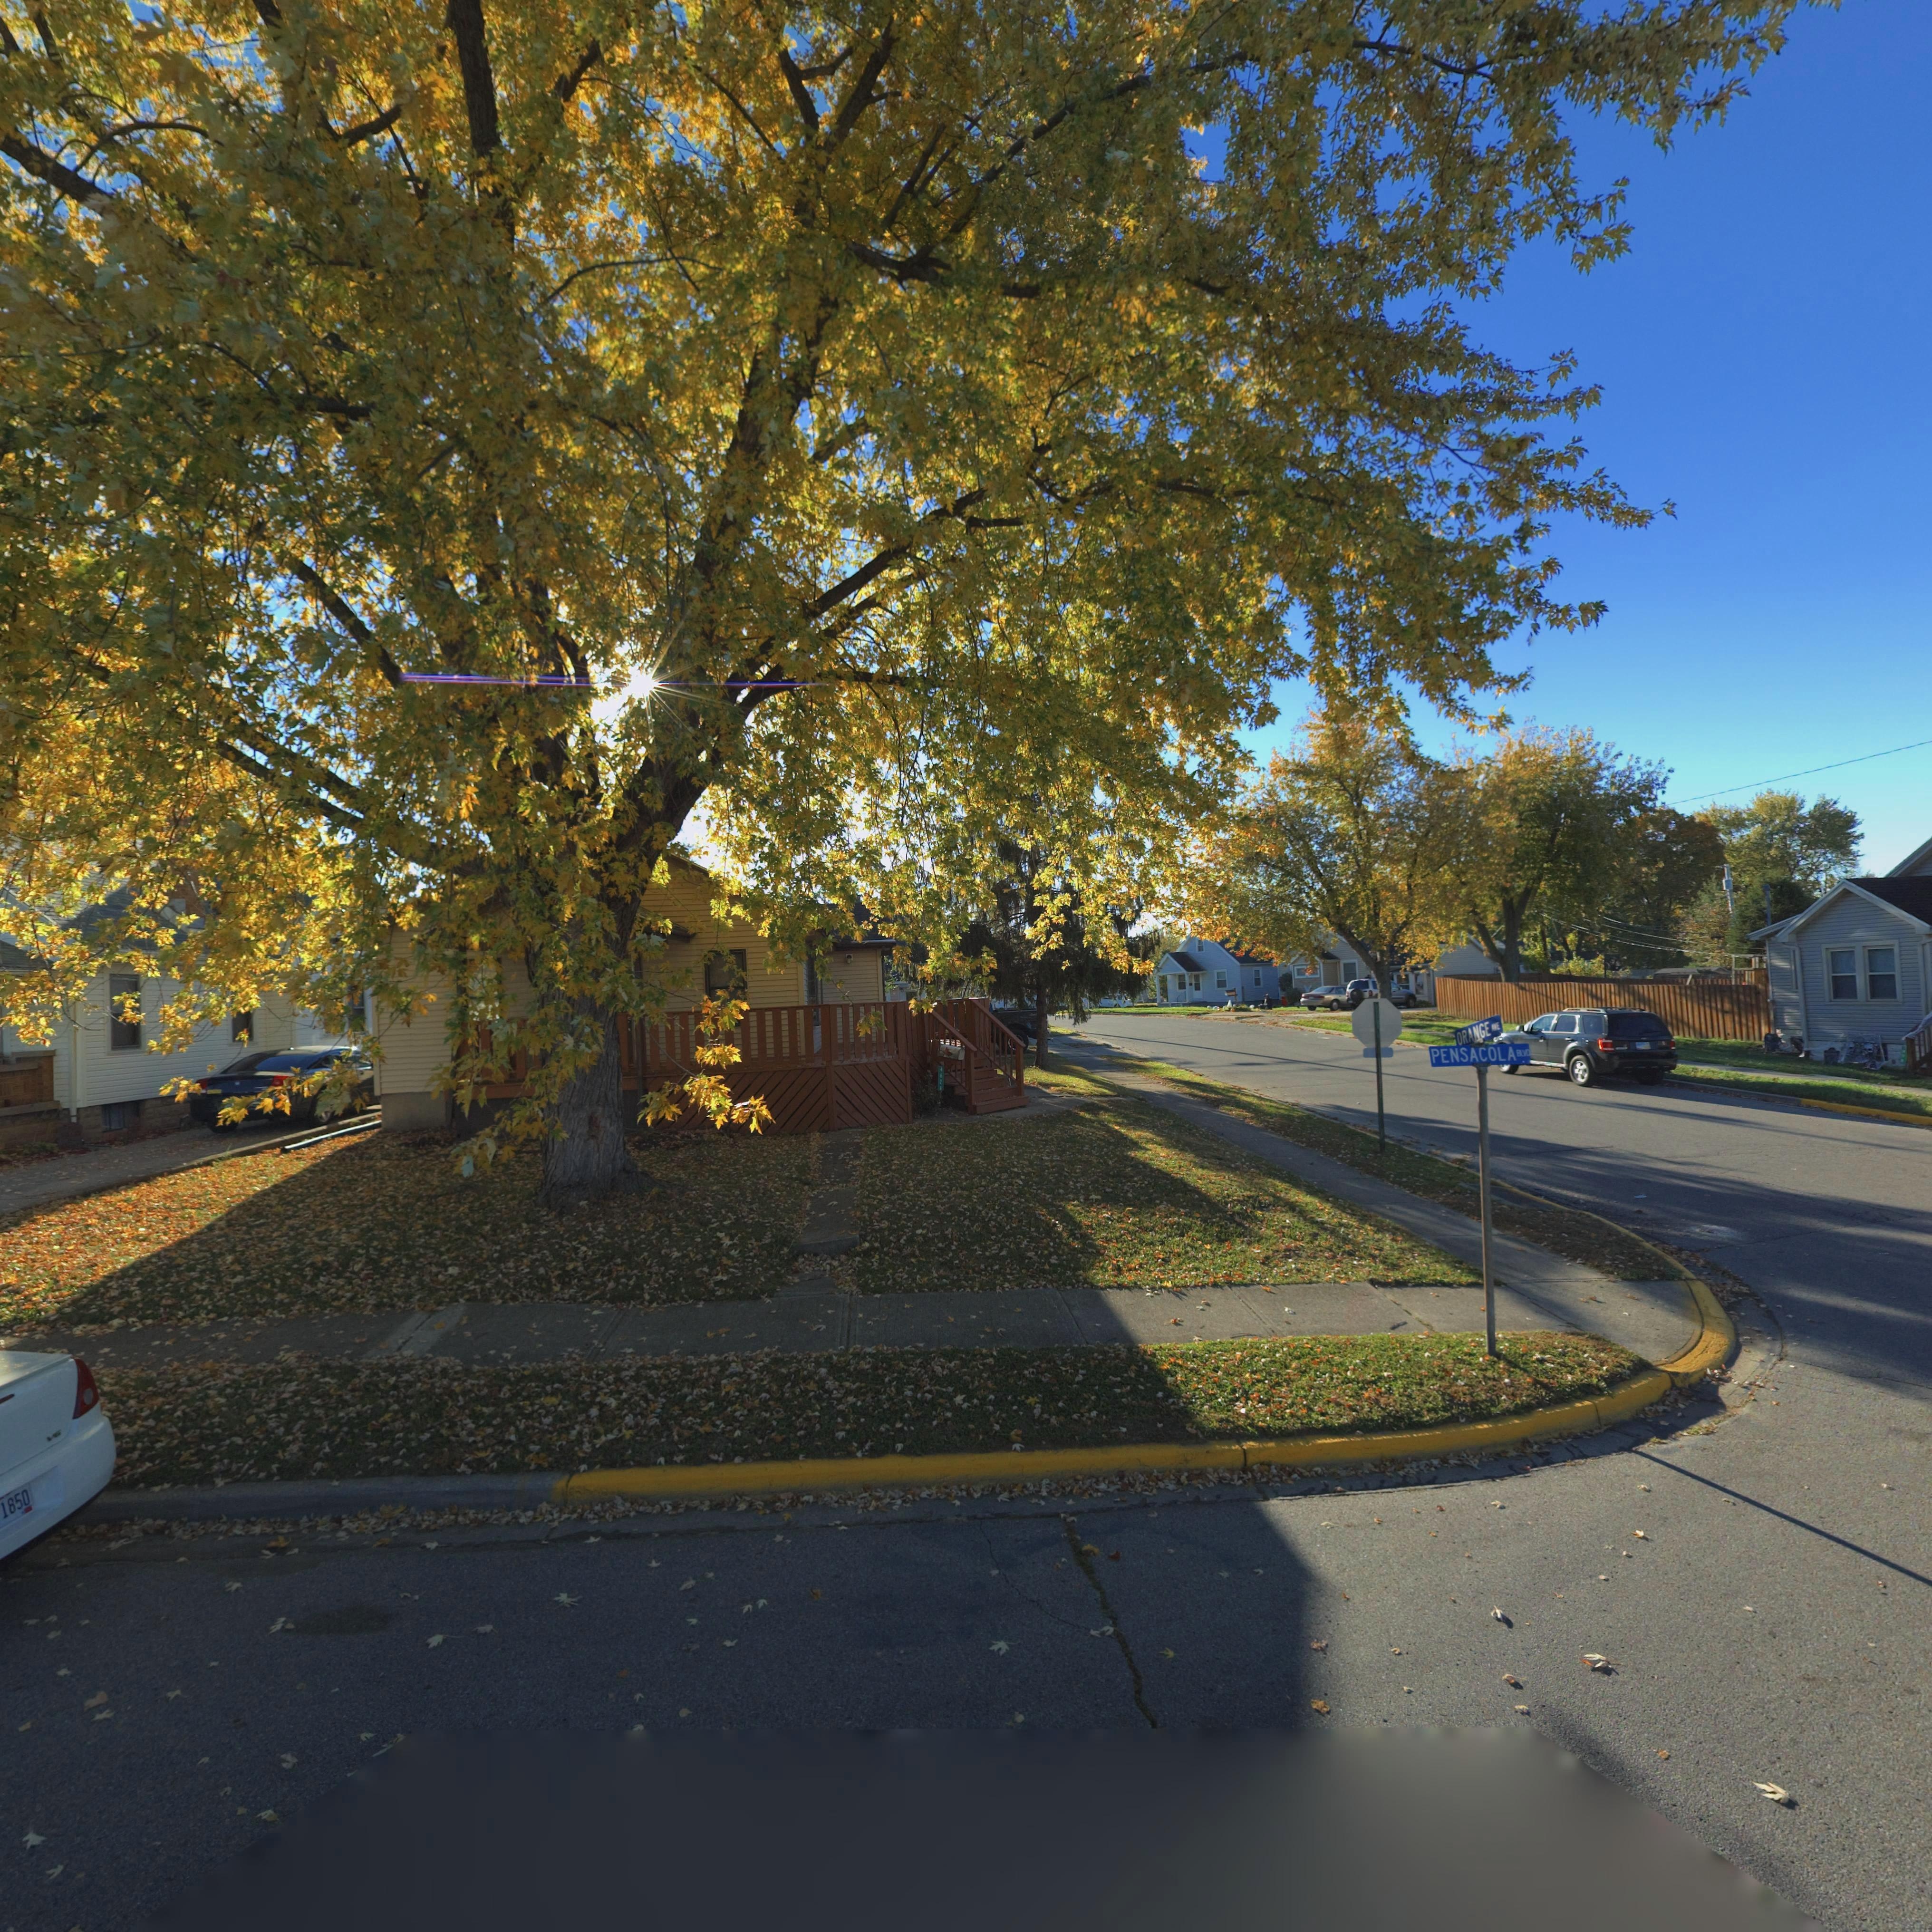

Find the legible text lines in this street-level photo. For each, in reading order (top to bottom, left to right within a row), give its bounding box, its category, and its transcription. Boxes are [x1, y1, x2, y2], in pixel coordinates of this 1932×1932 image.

[938, 1066, 943, 1092] StreetNumber: 462*